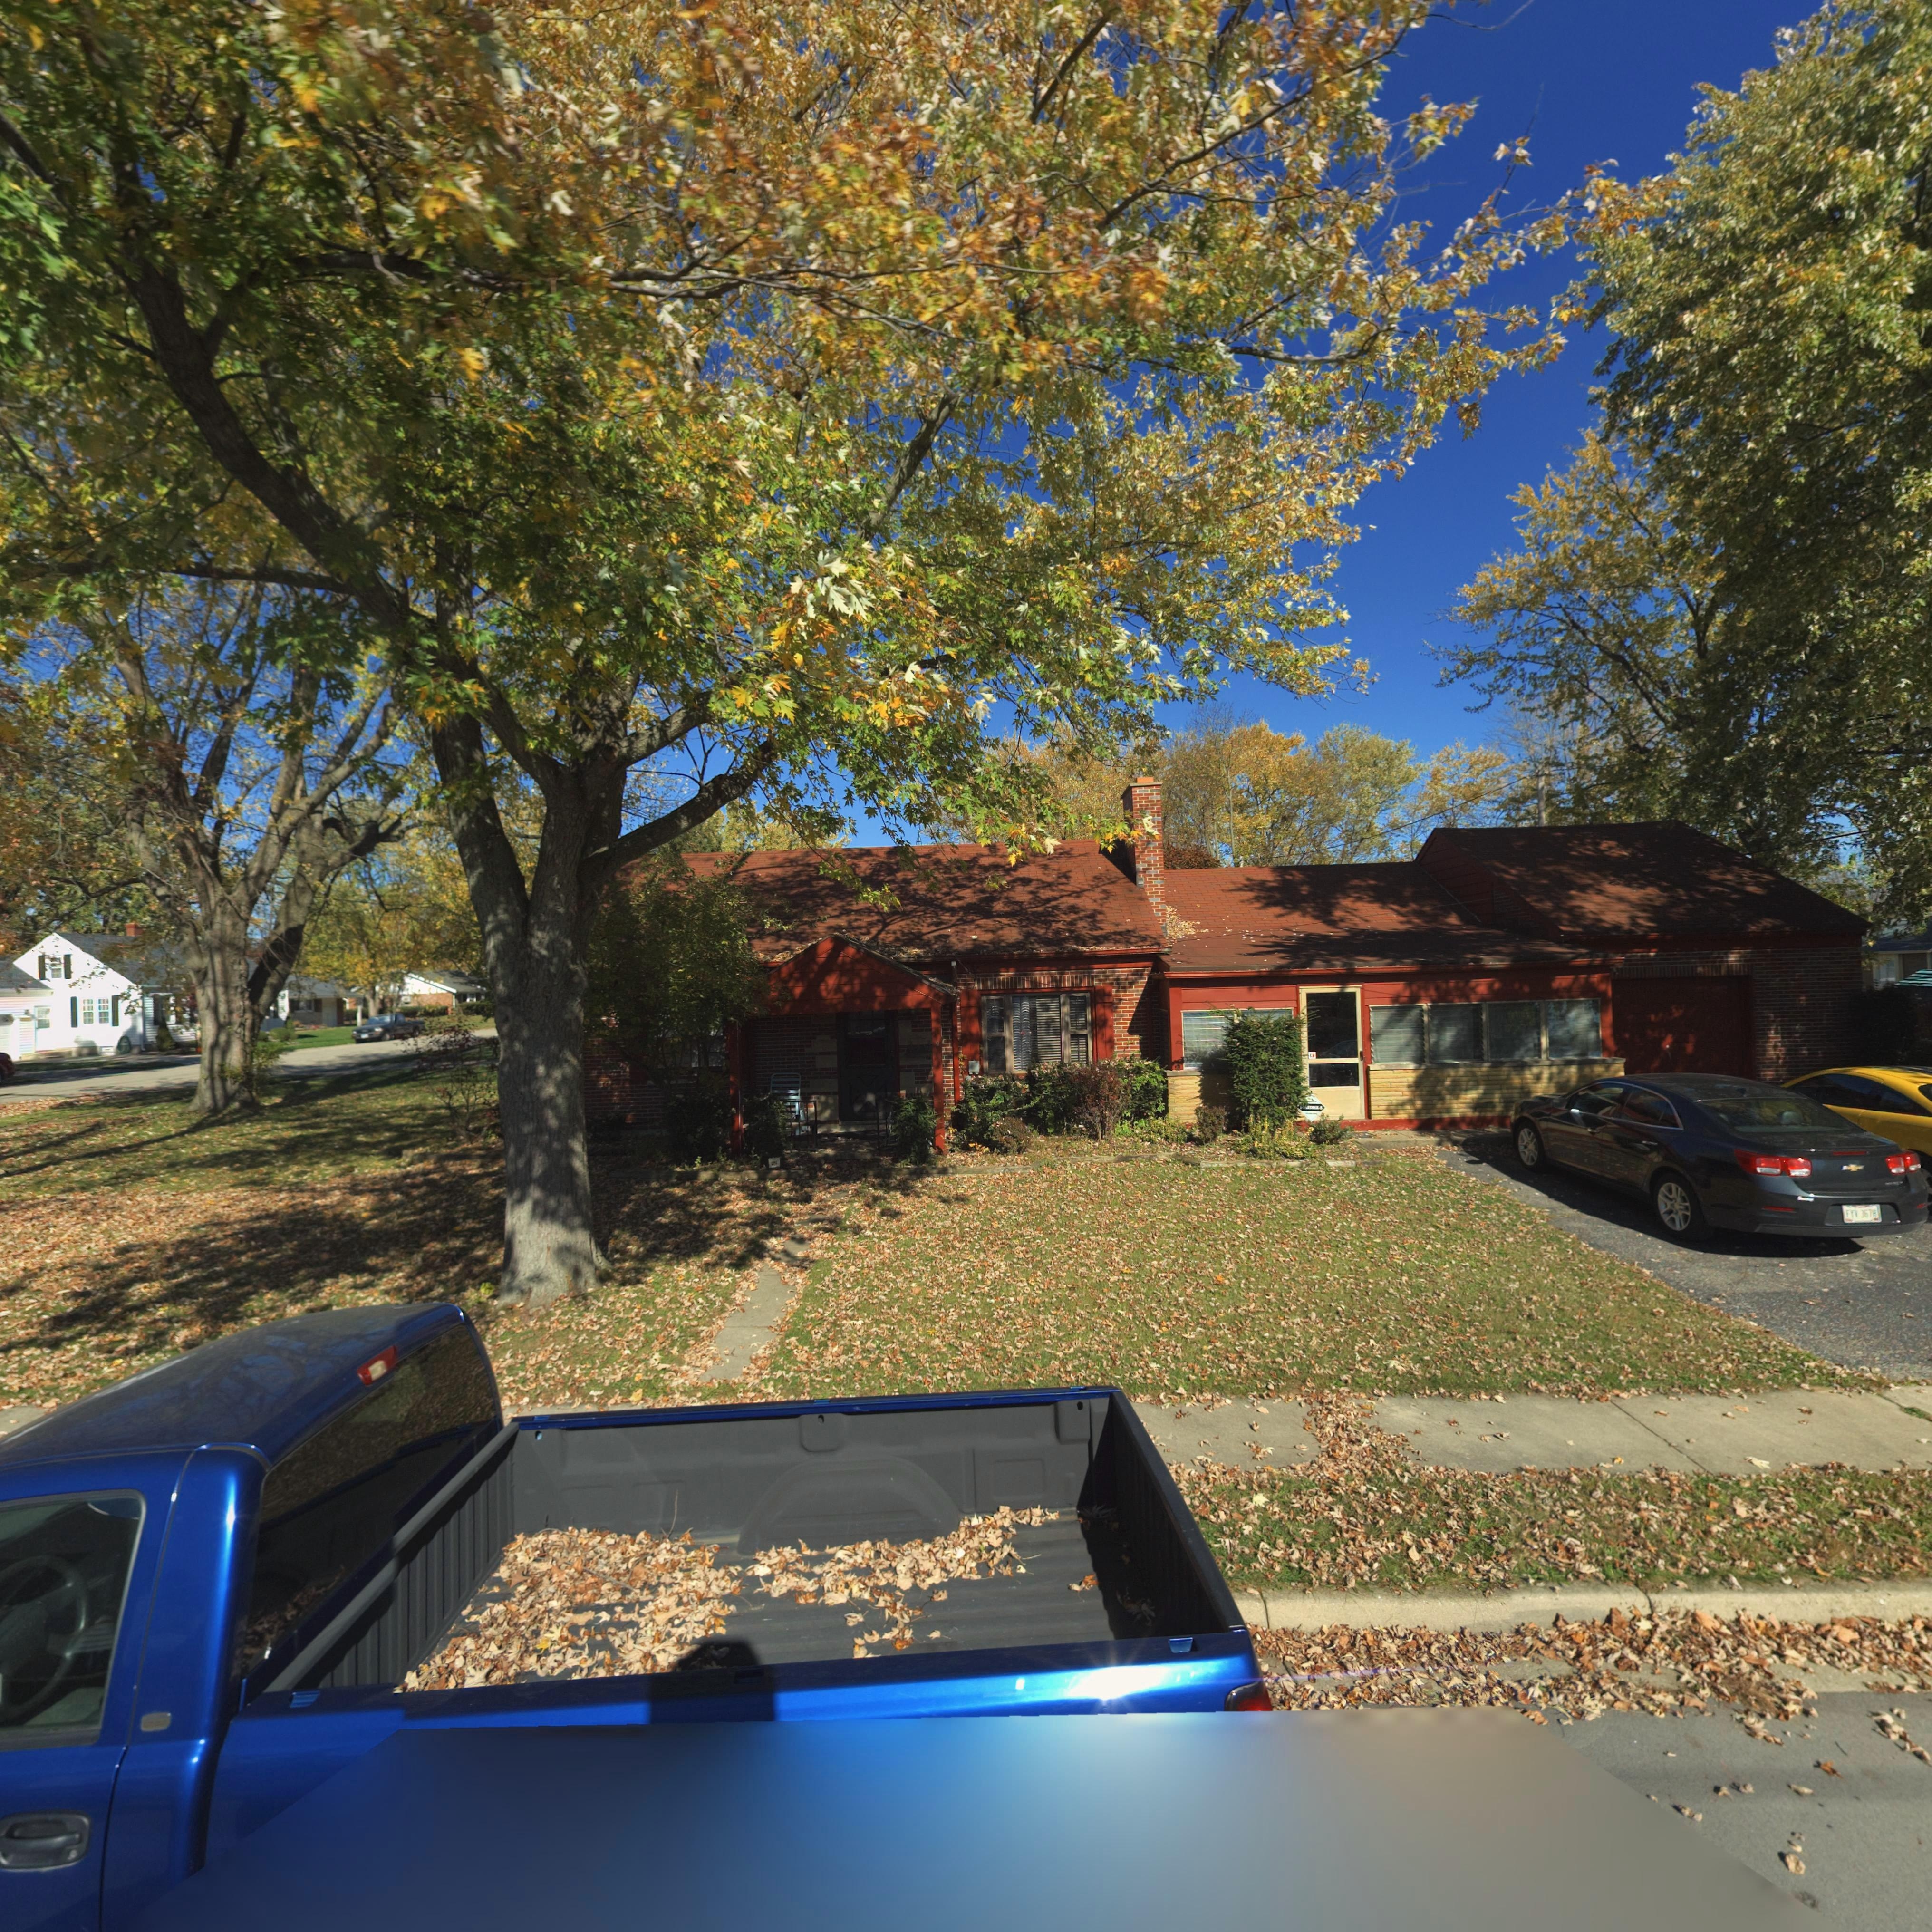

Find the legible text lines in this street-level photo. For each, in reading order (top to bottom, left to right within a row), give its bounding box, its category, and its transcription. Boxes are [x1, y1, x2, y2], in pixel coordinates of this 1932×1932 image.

[935, 1040, 940, 1047] StreetNumber: 9
[1845, 1208, 1878, 1219] None: F***3678